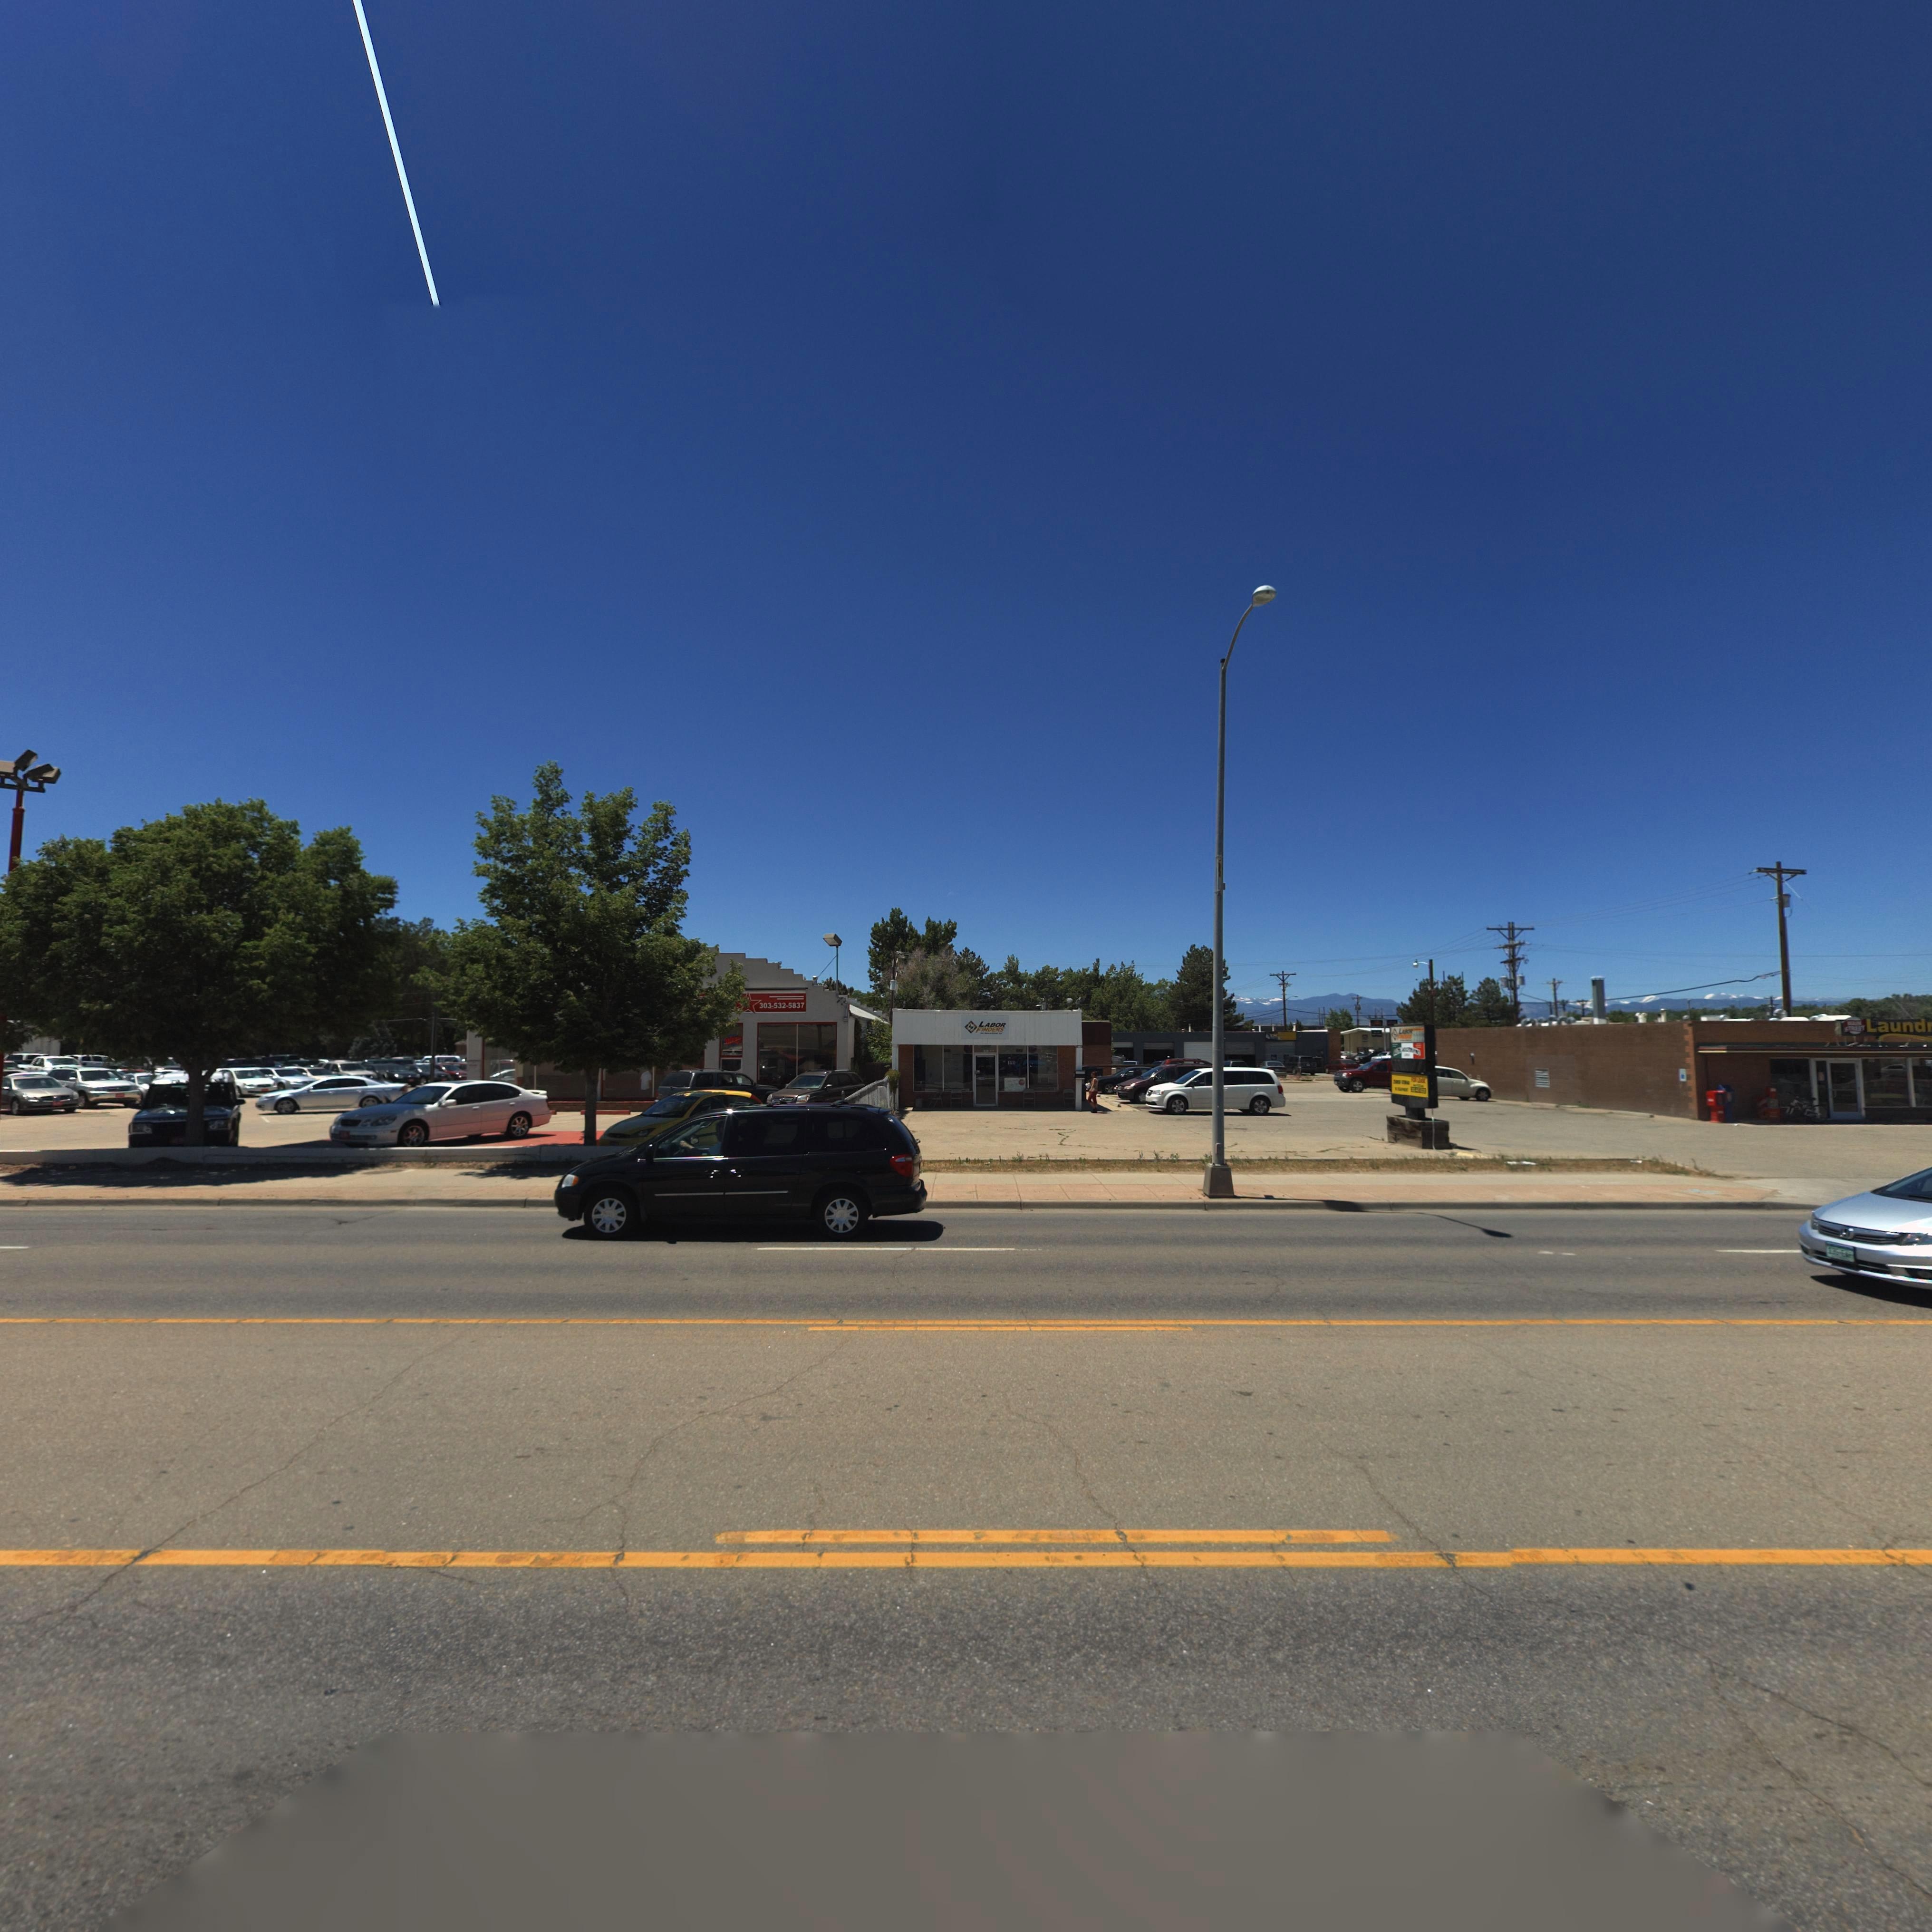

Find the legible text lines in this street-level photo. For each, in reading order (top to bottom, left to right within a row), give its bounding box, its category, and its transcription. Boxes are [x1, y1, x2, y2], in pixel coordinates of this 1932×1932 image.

[975, 1026, 1005, 1033] BusinessName: FINDERS
[978, 1021, 1006, 1027] BusinessName: LABOR
[1398, 1027, 1413, 1034] BusinessName: L**O*
[1844, 1024, 1864, 1032] BusinessName: ST***T
[1866, 1018, 1926, 1033] BusinessName: Laund
[1396, 1033, 1412, 1041] BusinessName: ******S
[983, 1049, 988, 1052] StreetNumber: 1**